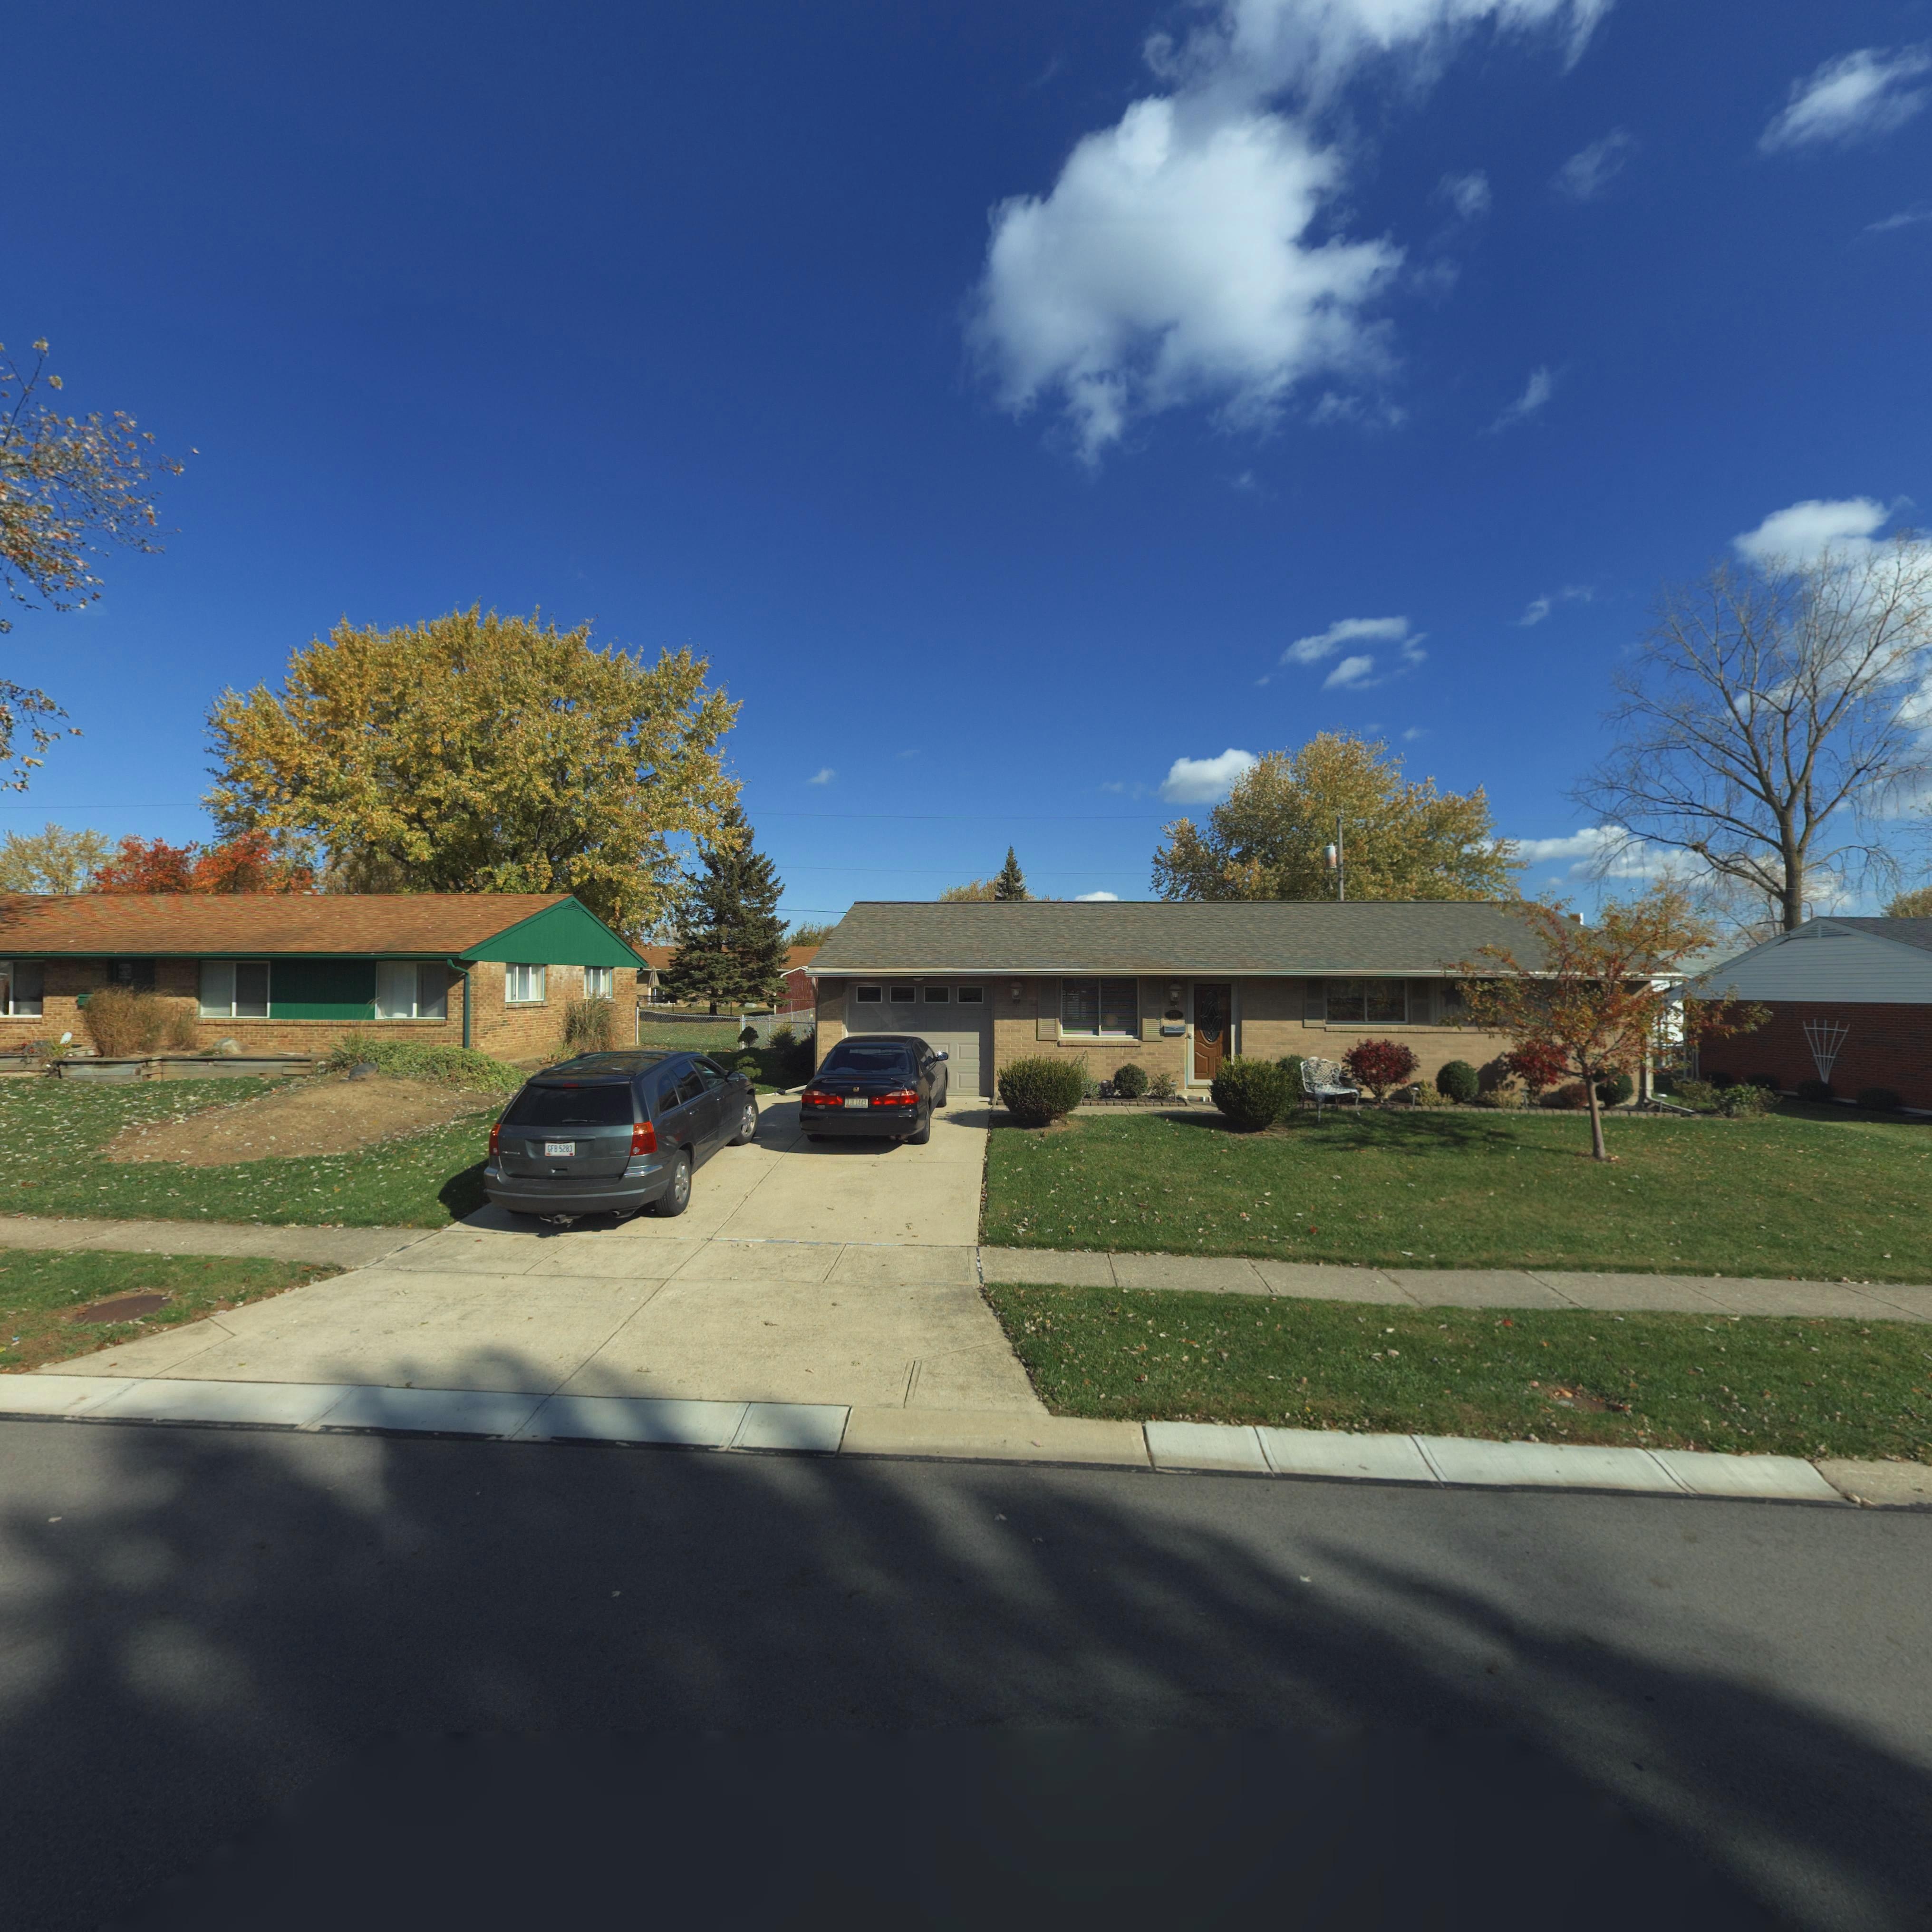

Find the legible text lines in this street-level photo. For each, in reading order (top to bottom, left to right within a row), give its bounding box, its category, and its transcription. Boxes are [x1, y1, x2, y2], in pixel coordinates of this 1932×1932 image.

[1169, 1012, 1179, 1018] StreetNumber: 7*0*